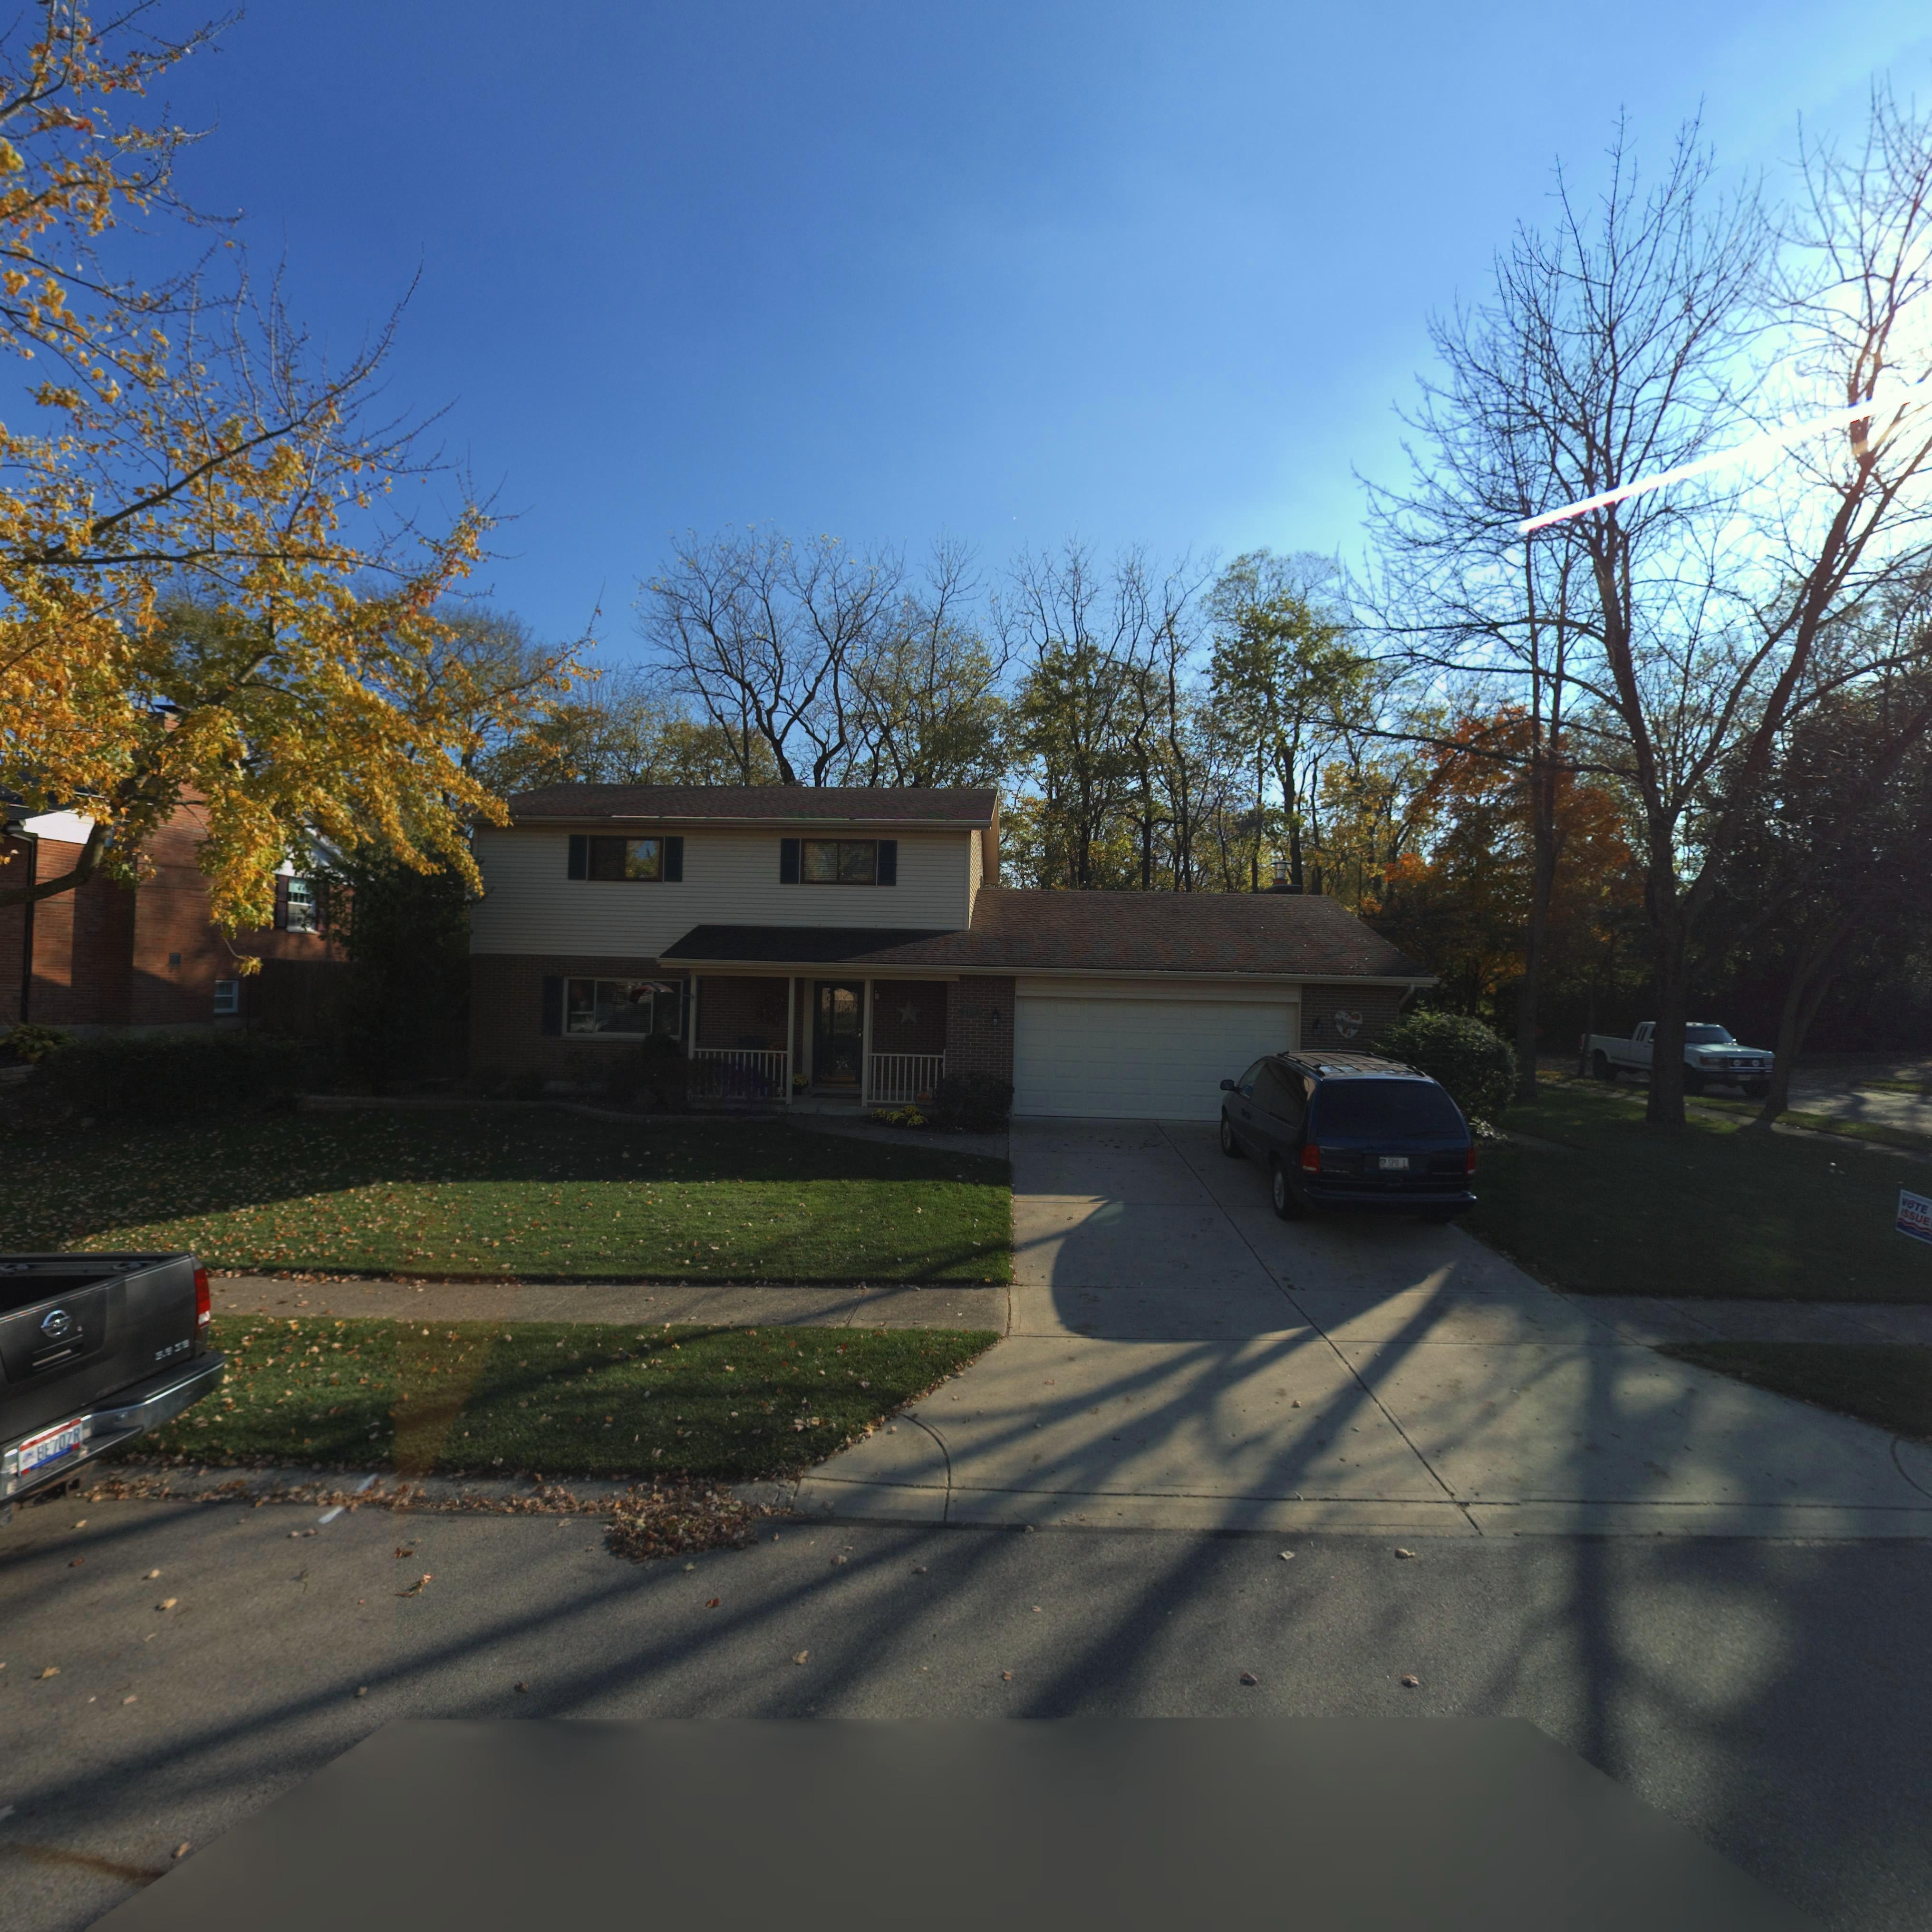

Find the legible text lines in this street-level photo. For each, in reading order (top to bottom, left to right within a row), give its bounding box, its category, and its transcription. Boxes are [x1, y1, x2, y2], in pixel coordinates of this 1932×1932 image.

[962, 1006, 977, 1016] StreetNumber: 750